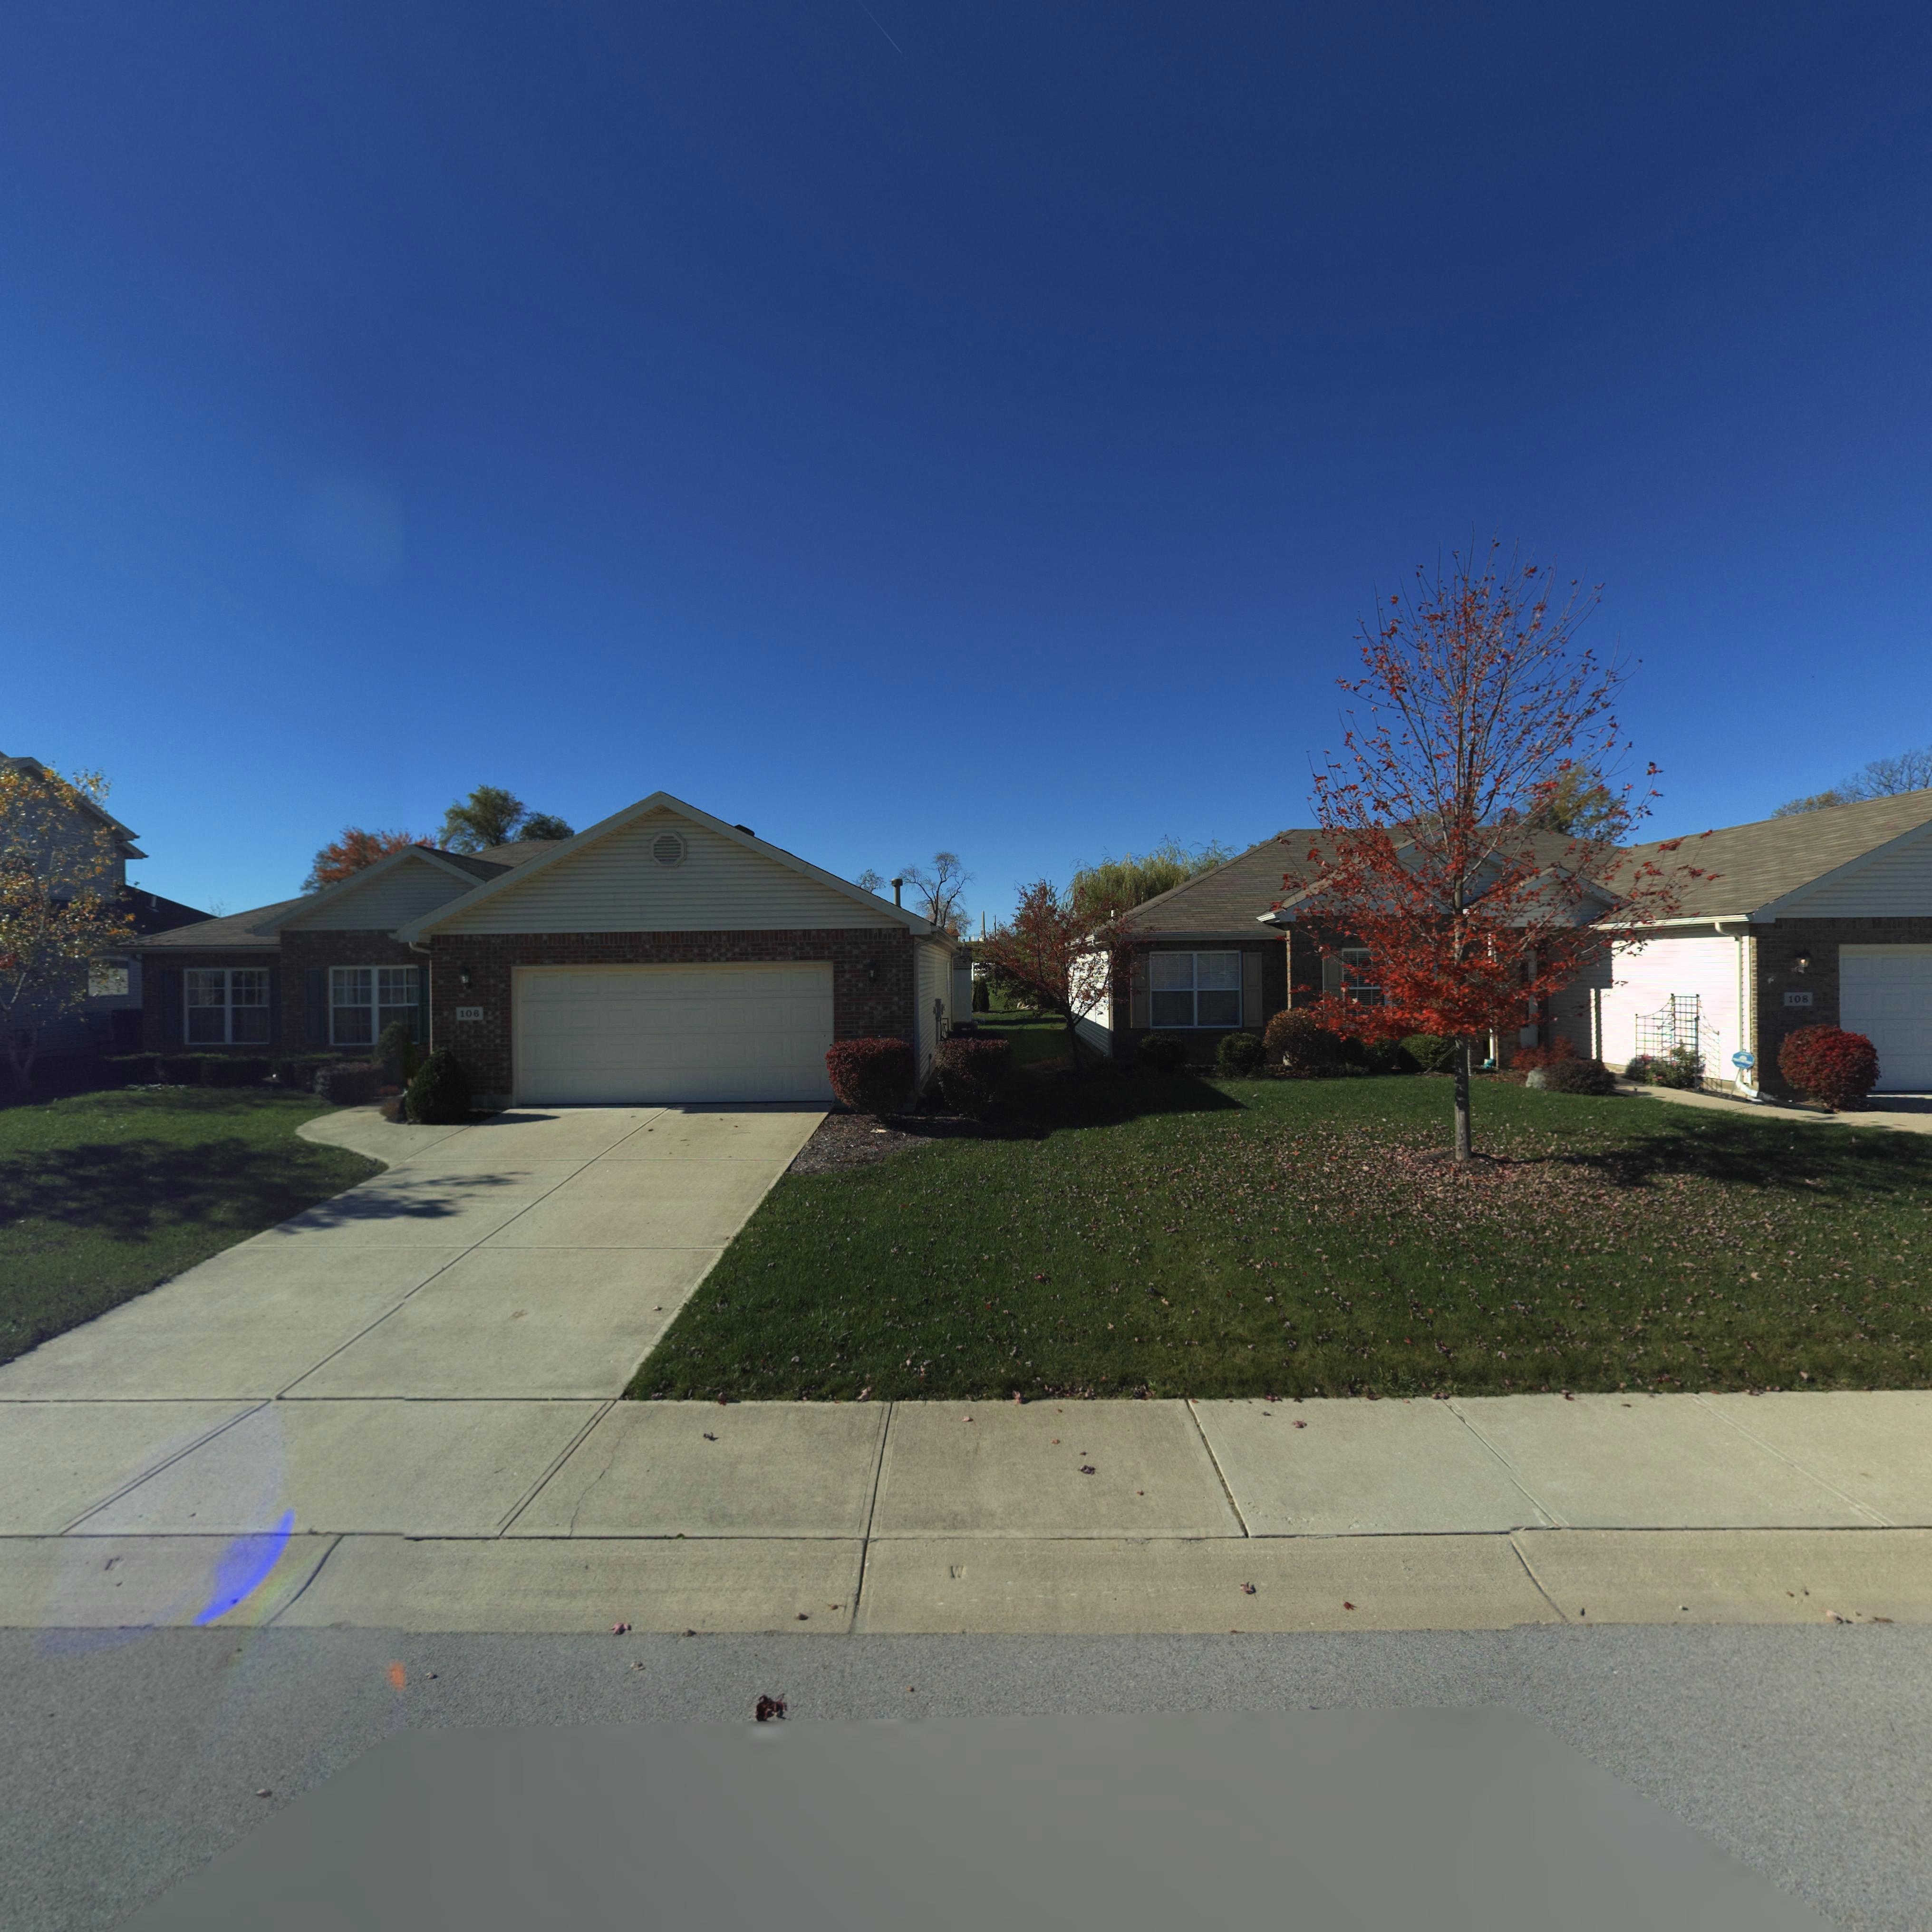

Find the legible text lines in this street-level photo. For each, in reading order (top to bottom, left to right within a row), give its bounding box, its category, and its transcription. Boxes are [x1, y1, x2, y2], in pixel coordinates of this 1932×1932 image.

[1788, 995, 1809, 1004] StreetNumber: 108
[459, 1009, 481, 1018] StreetNumber: 106